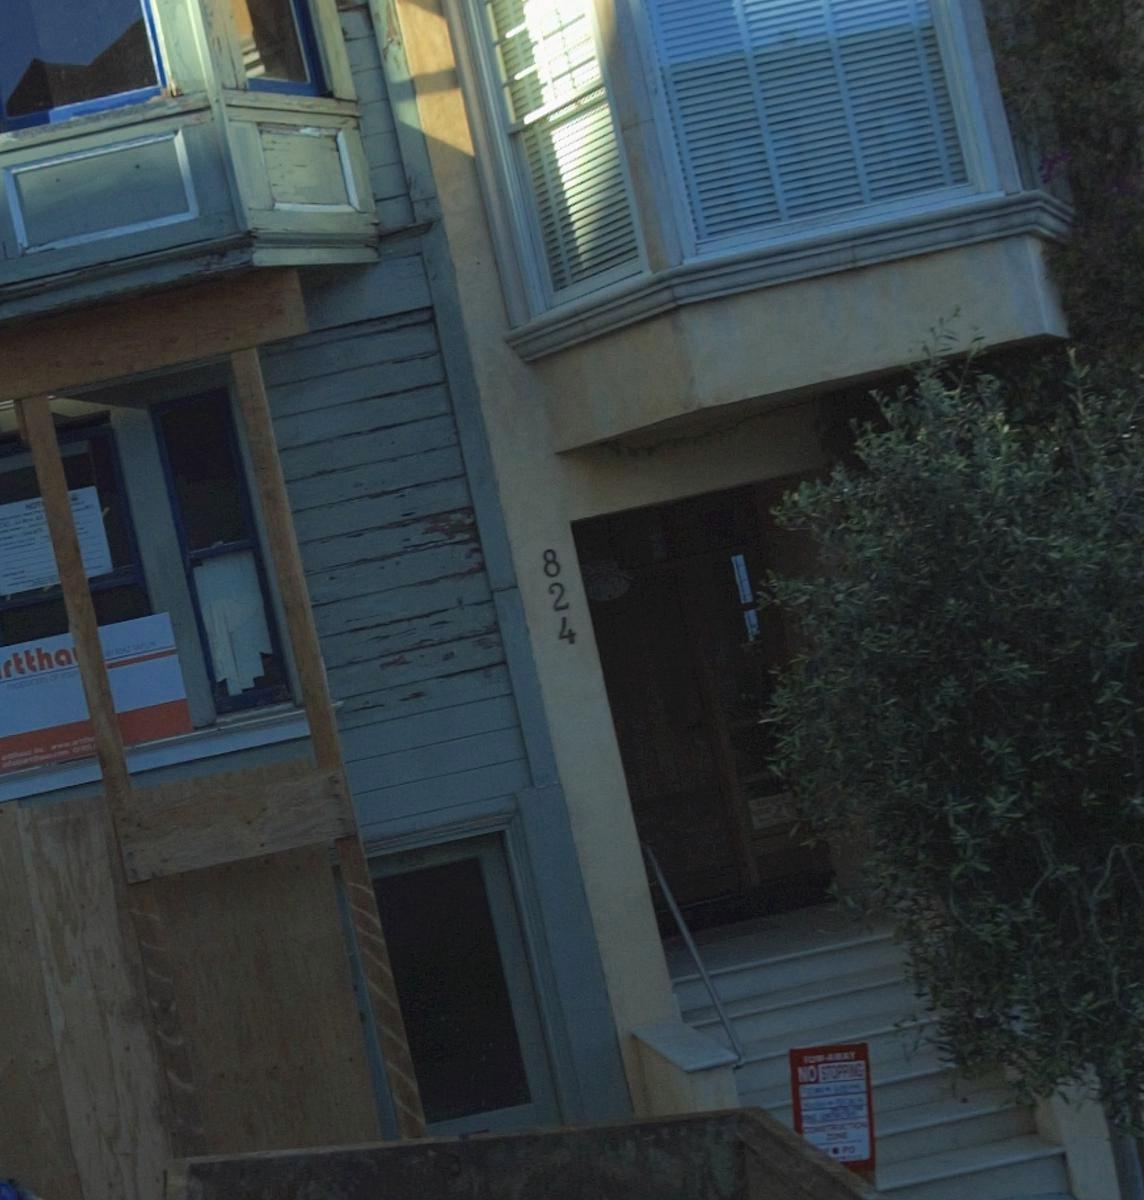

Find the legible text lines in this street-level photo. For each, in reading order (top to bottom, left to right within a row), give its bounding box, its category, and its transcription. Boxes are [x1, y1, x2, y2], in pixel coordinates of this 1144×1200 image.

[23, 500, 42, 511] None: NOT
[534, 545, 583, 651] StreetNumber: 824
[2, 645, 76, 681] BusinessName: rttha
[5, 668, 81, 692] None: PRODUCERS OF YOUR
[801, 1050, 856, 1065] None: TOW-AWAY
[797, 1061, 865, 1084] None: NO STOPPING
[802, 1120, 868, 1135] None: CONSTRUCTION
[825, 1131, 848, 1142] None: ZONE